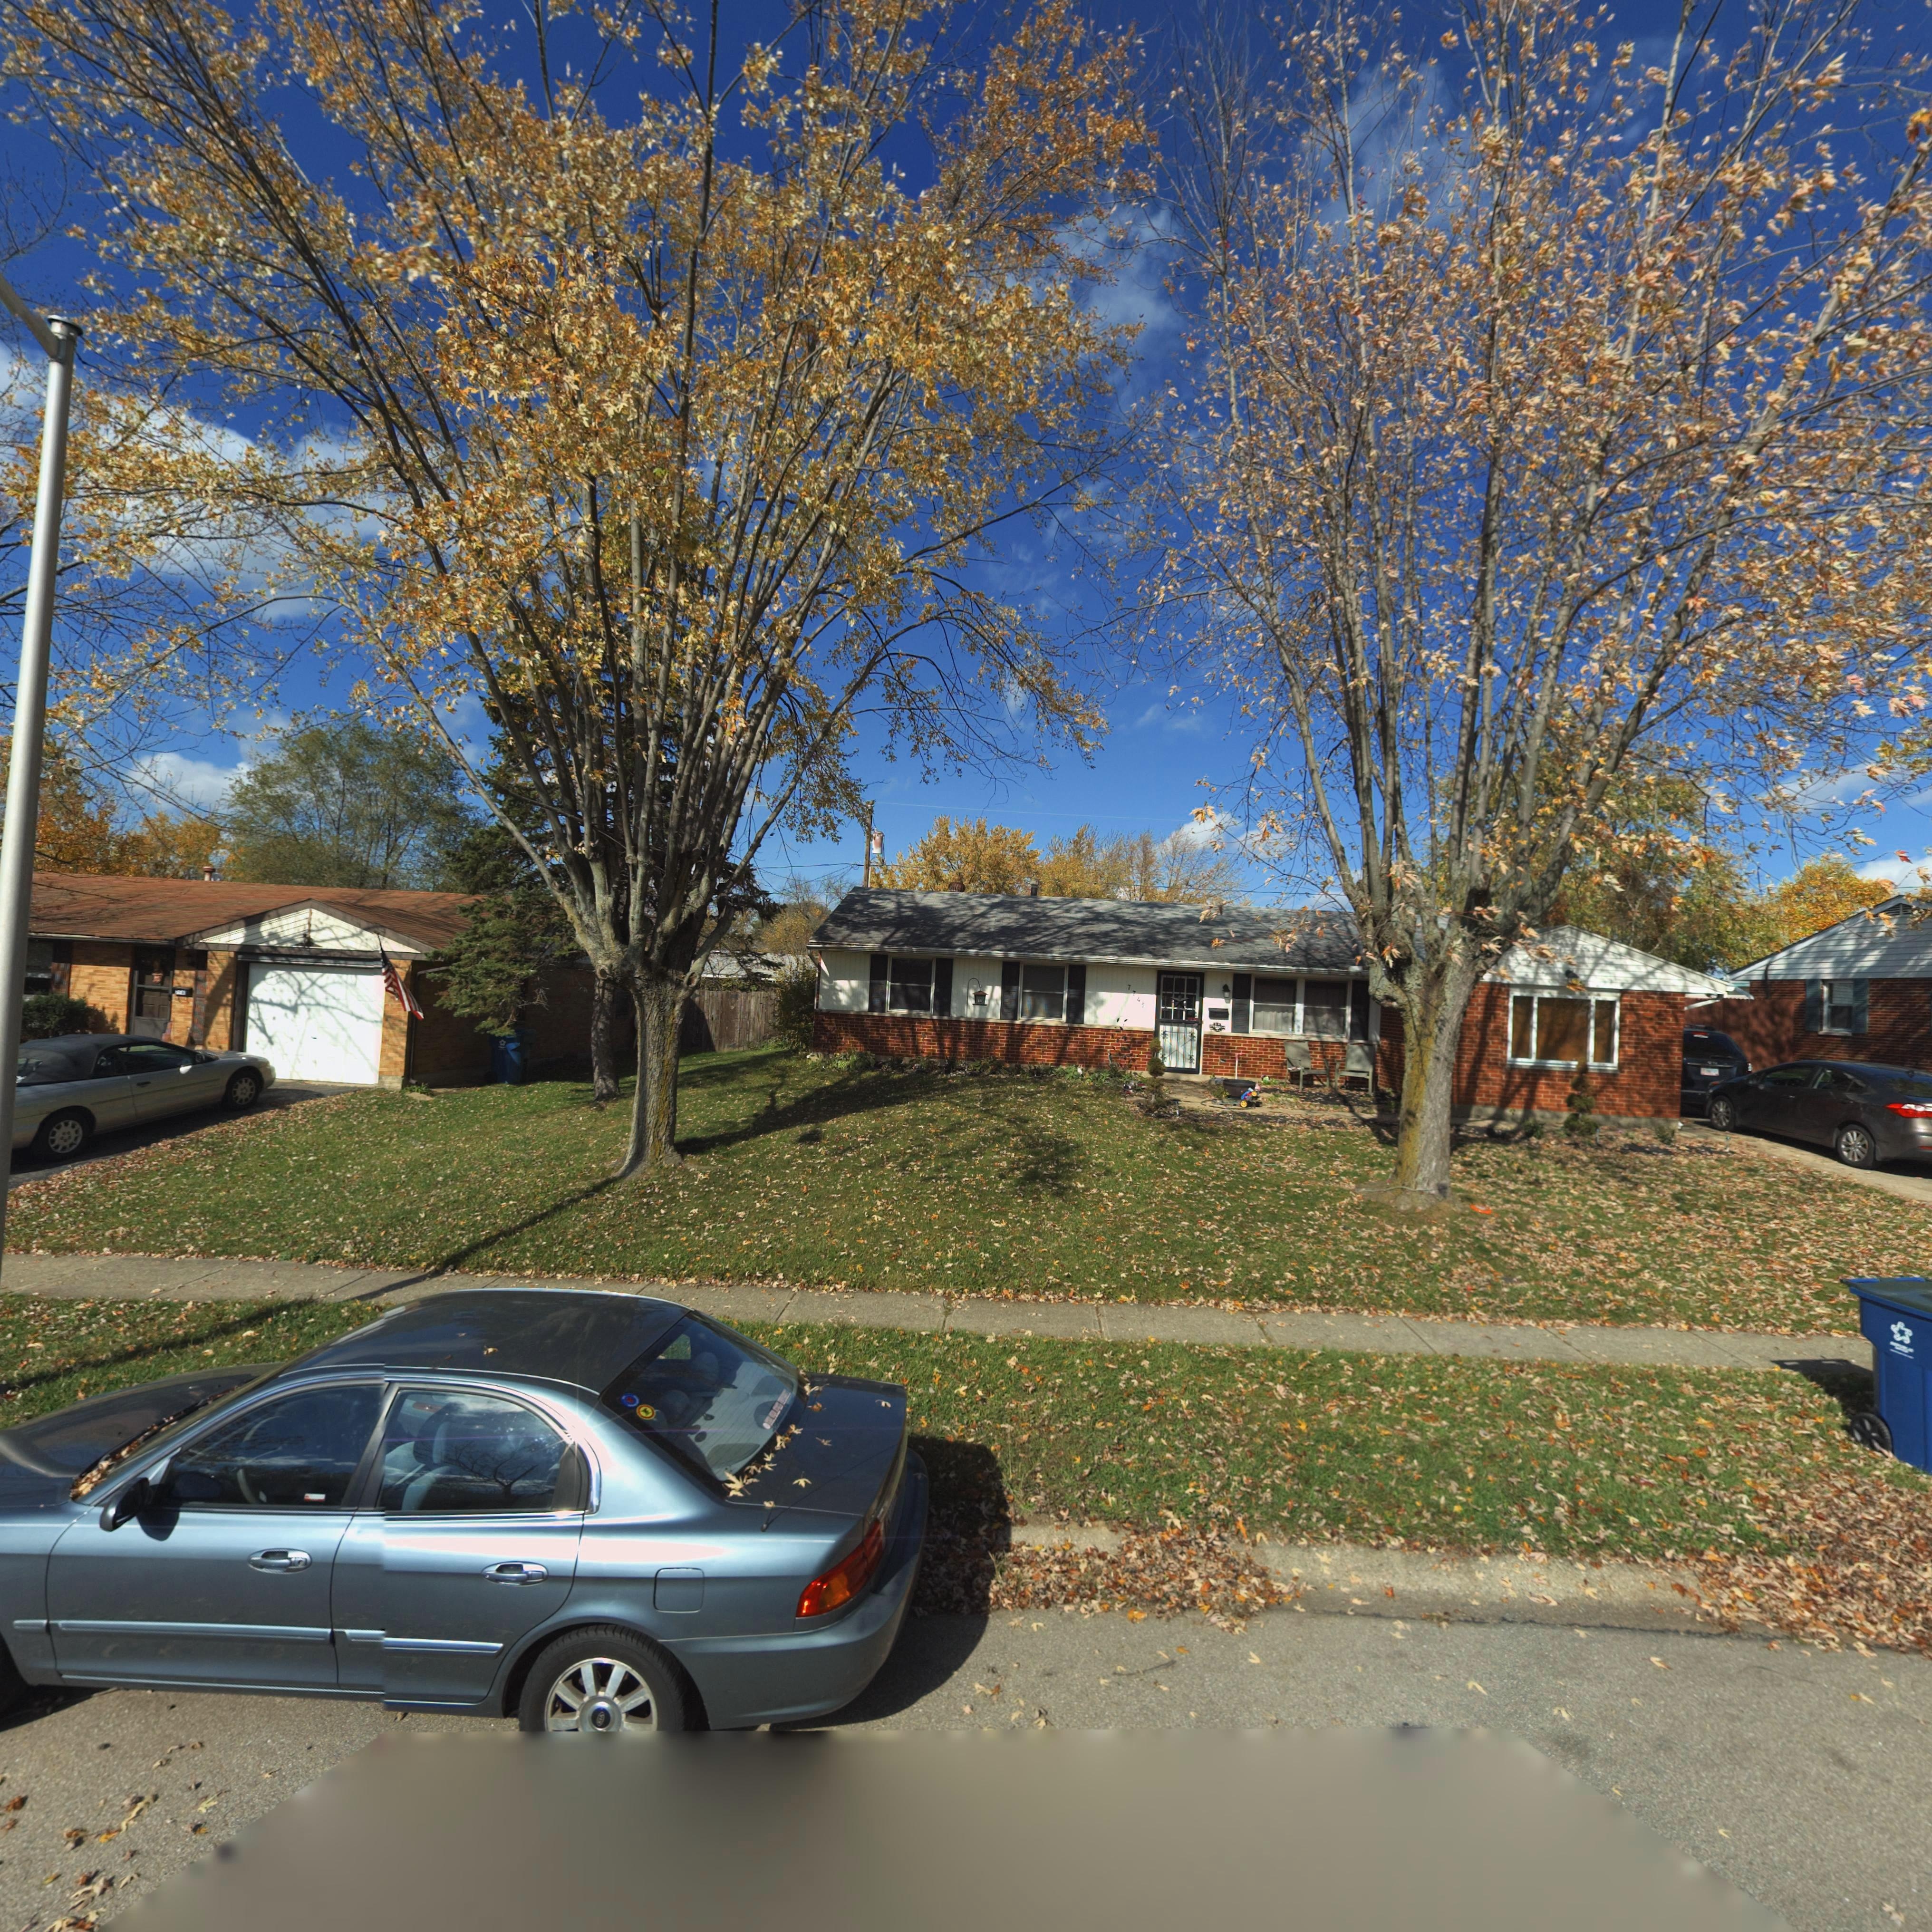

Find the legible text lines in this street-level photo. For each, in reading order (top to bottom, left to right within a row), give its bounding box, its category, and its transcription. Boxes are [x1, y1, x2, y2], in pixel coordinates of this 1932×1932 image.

[174, 989, 187, 995] StreetNumber: 7**1
[1127, 984, 1145, 1008] StreetNumber: 7745